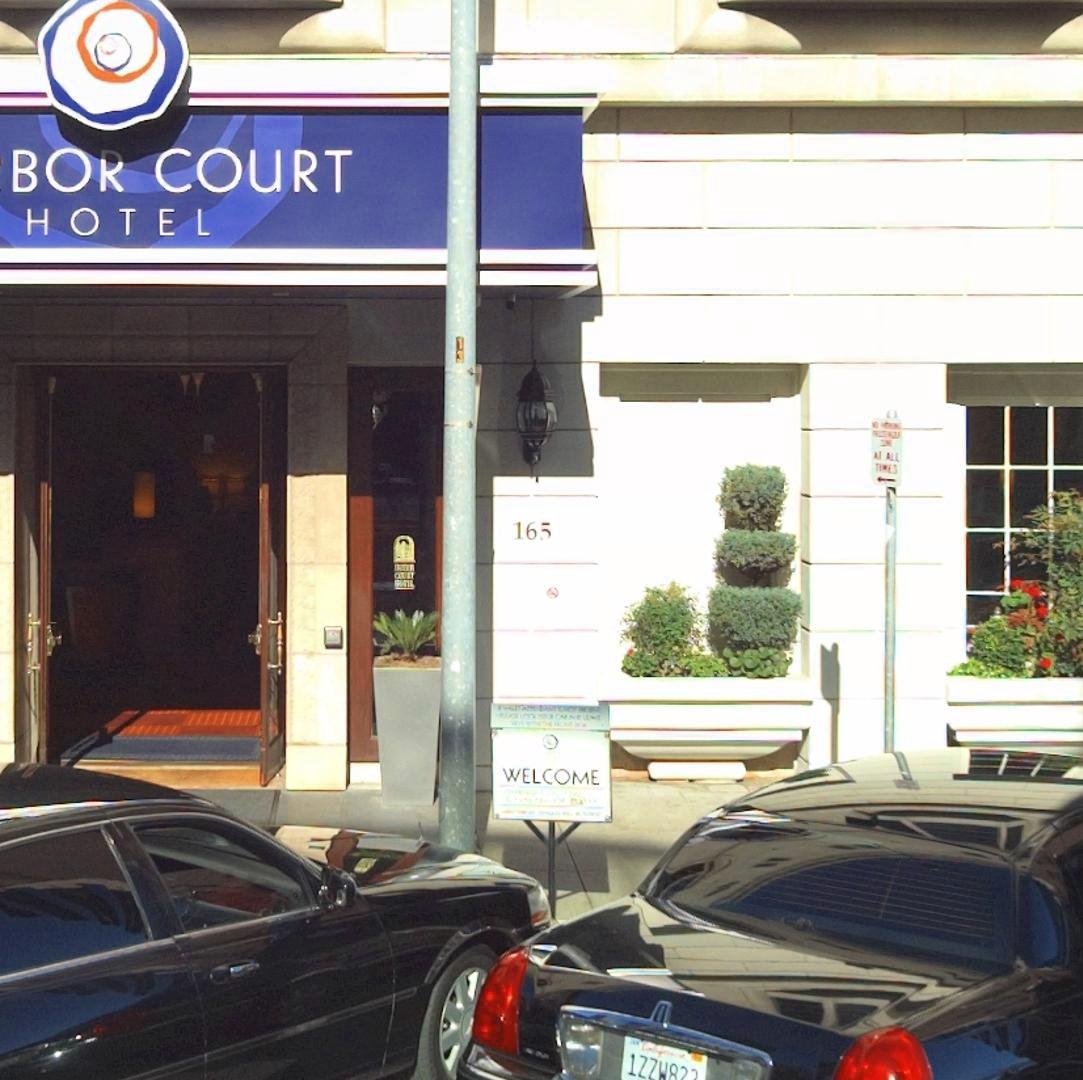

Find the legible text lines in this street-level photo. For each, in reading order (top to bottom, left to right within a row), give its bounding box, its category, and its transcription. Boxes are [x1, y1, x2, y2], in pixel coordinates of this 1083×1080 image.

[9, 147, 355, 196] None: BOR COURT
[23, 206, 213, 238] None: HOTEL
[873, 450, 900, 463] None: AT ALL
[873, 462, 899, 476] None: TIMES
[511, 520, 553, 542] StreetNumber: 165
[501, 766, 601, 786] None: WELCOME
[627, 1052, 649, 1079] None: 1Z